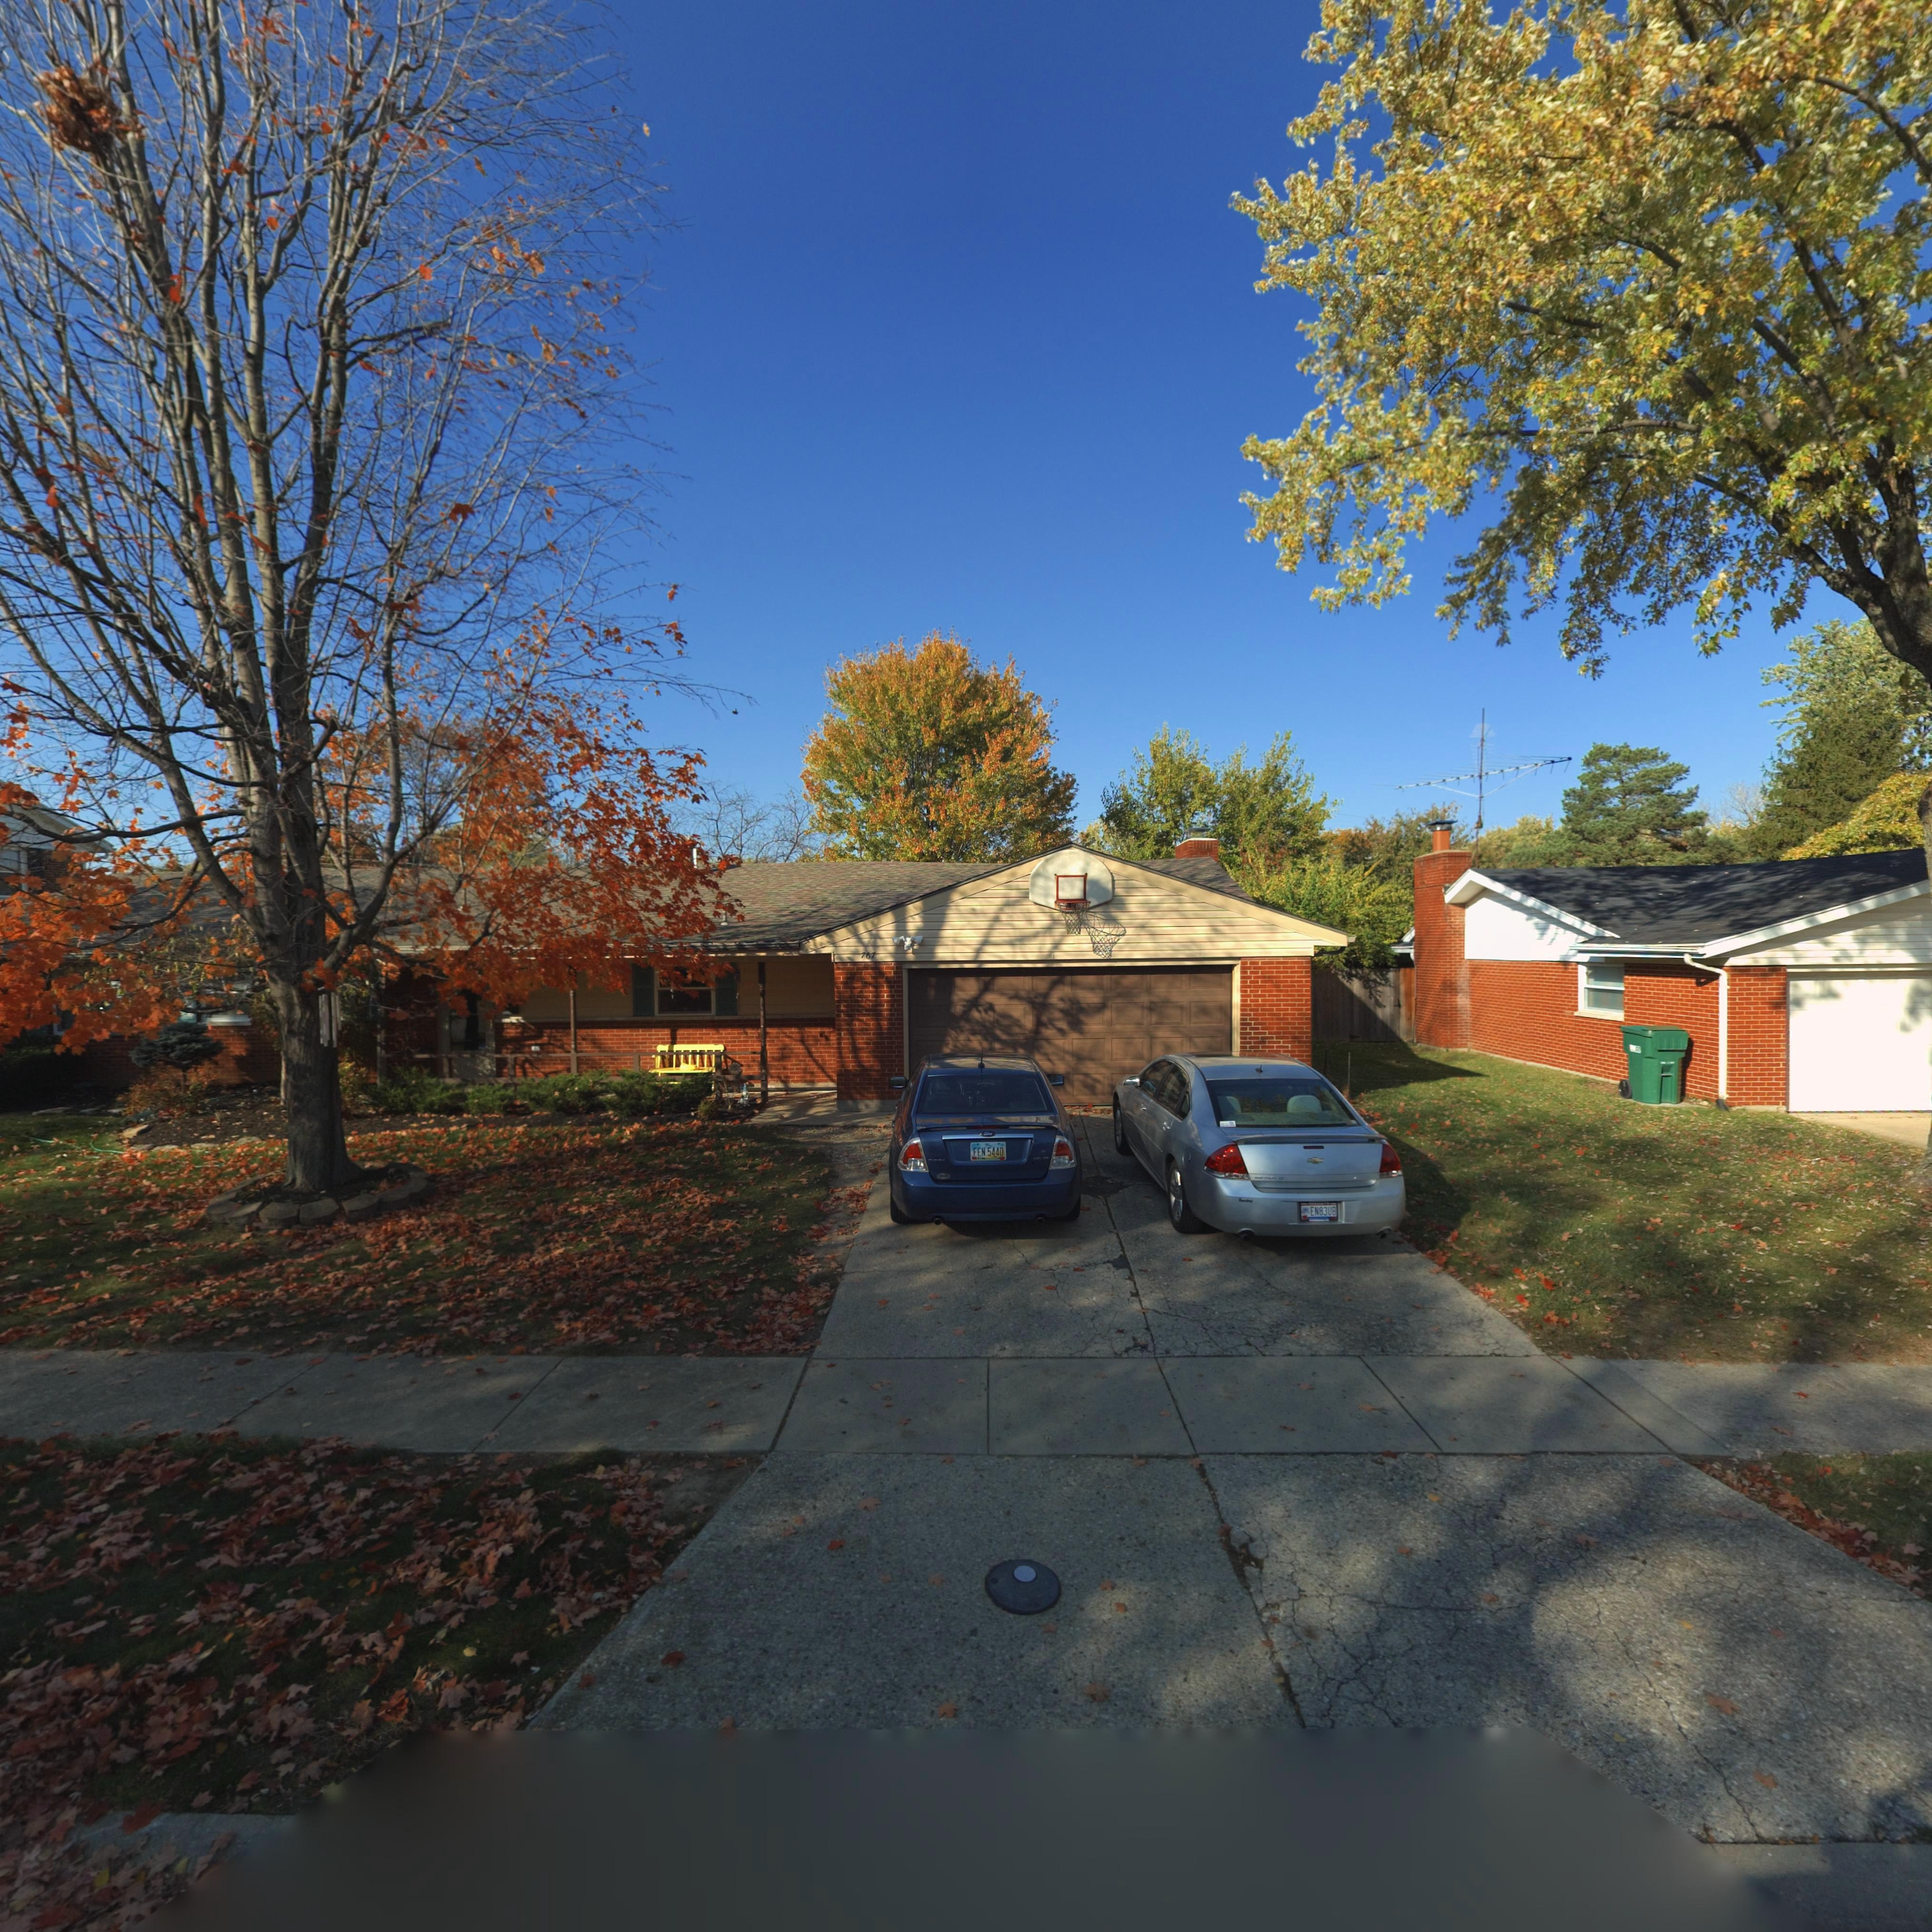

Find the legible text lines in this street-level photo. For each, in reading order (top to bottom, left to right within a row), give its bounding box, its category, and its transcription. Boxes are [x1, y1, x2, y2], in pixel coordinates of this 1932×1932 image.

[860, 951, 877, 960] StreetNumber: 767